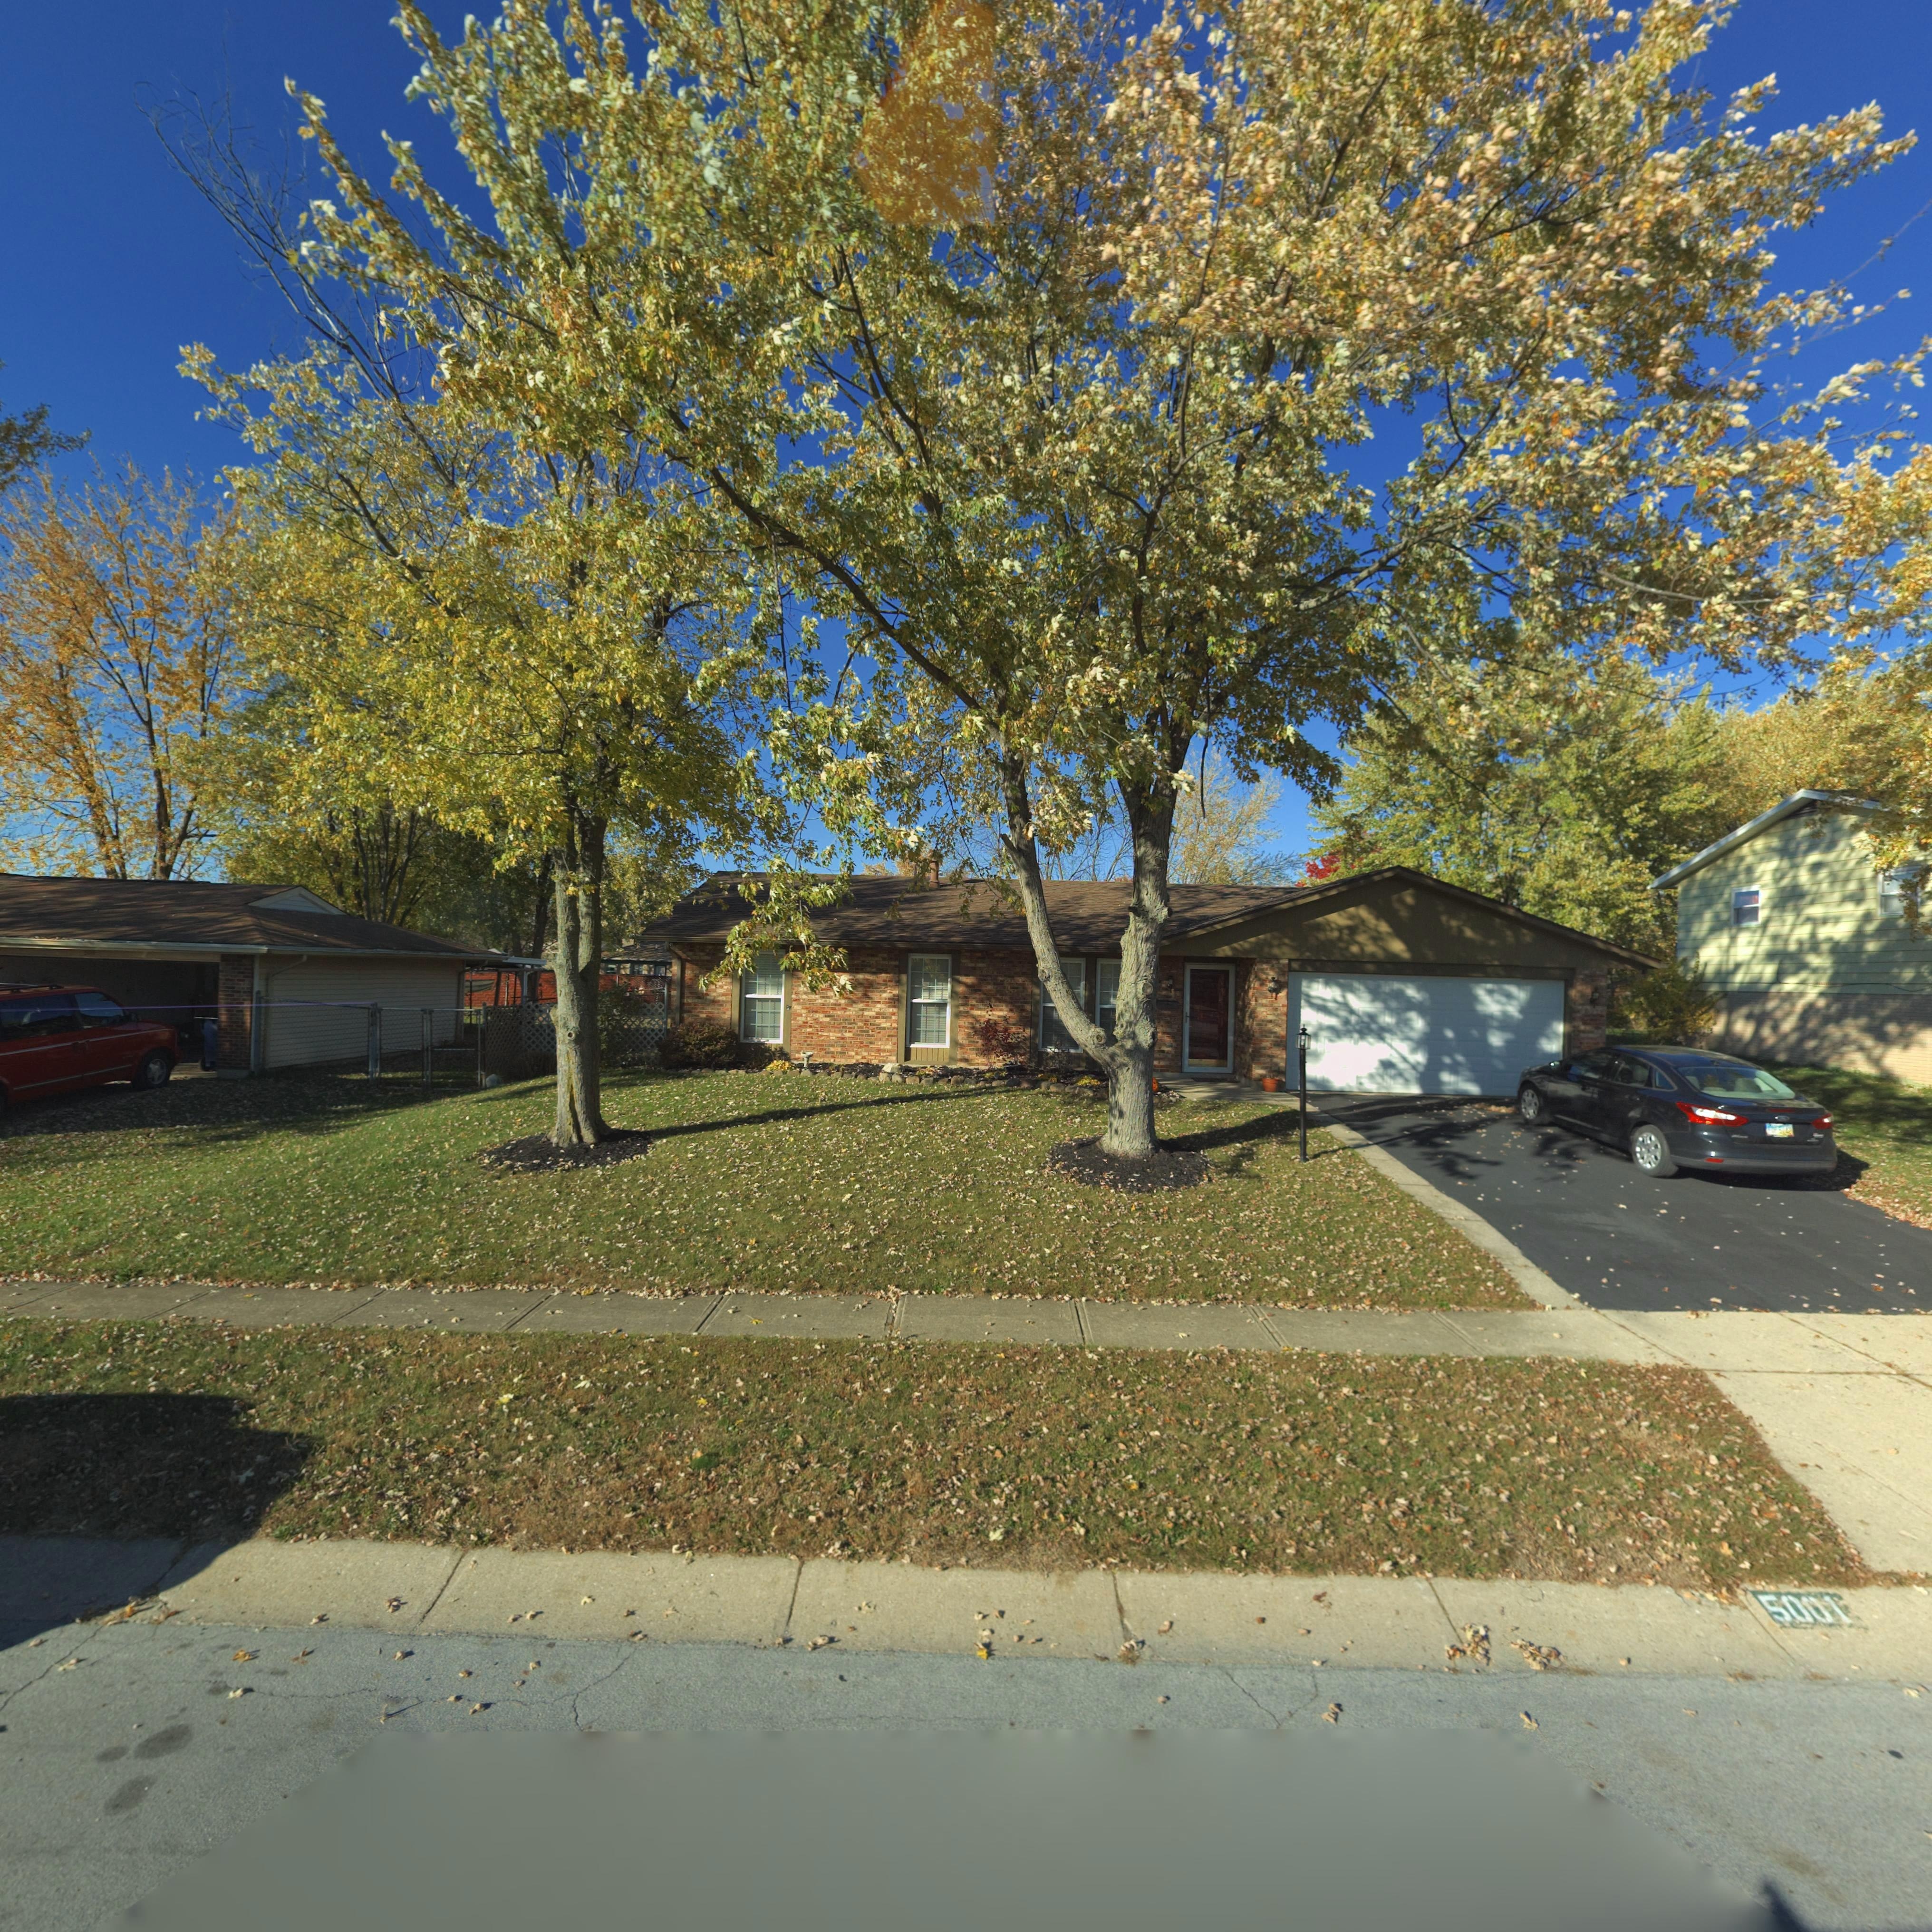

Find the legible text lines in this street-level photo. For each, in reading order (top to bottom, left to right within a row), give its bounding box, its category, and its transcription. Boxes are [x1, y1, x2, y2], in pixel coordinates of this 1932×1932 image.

[1752, 1592, 1855, 1626] StreetNumber: 5001